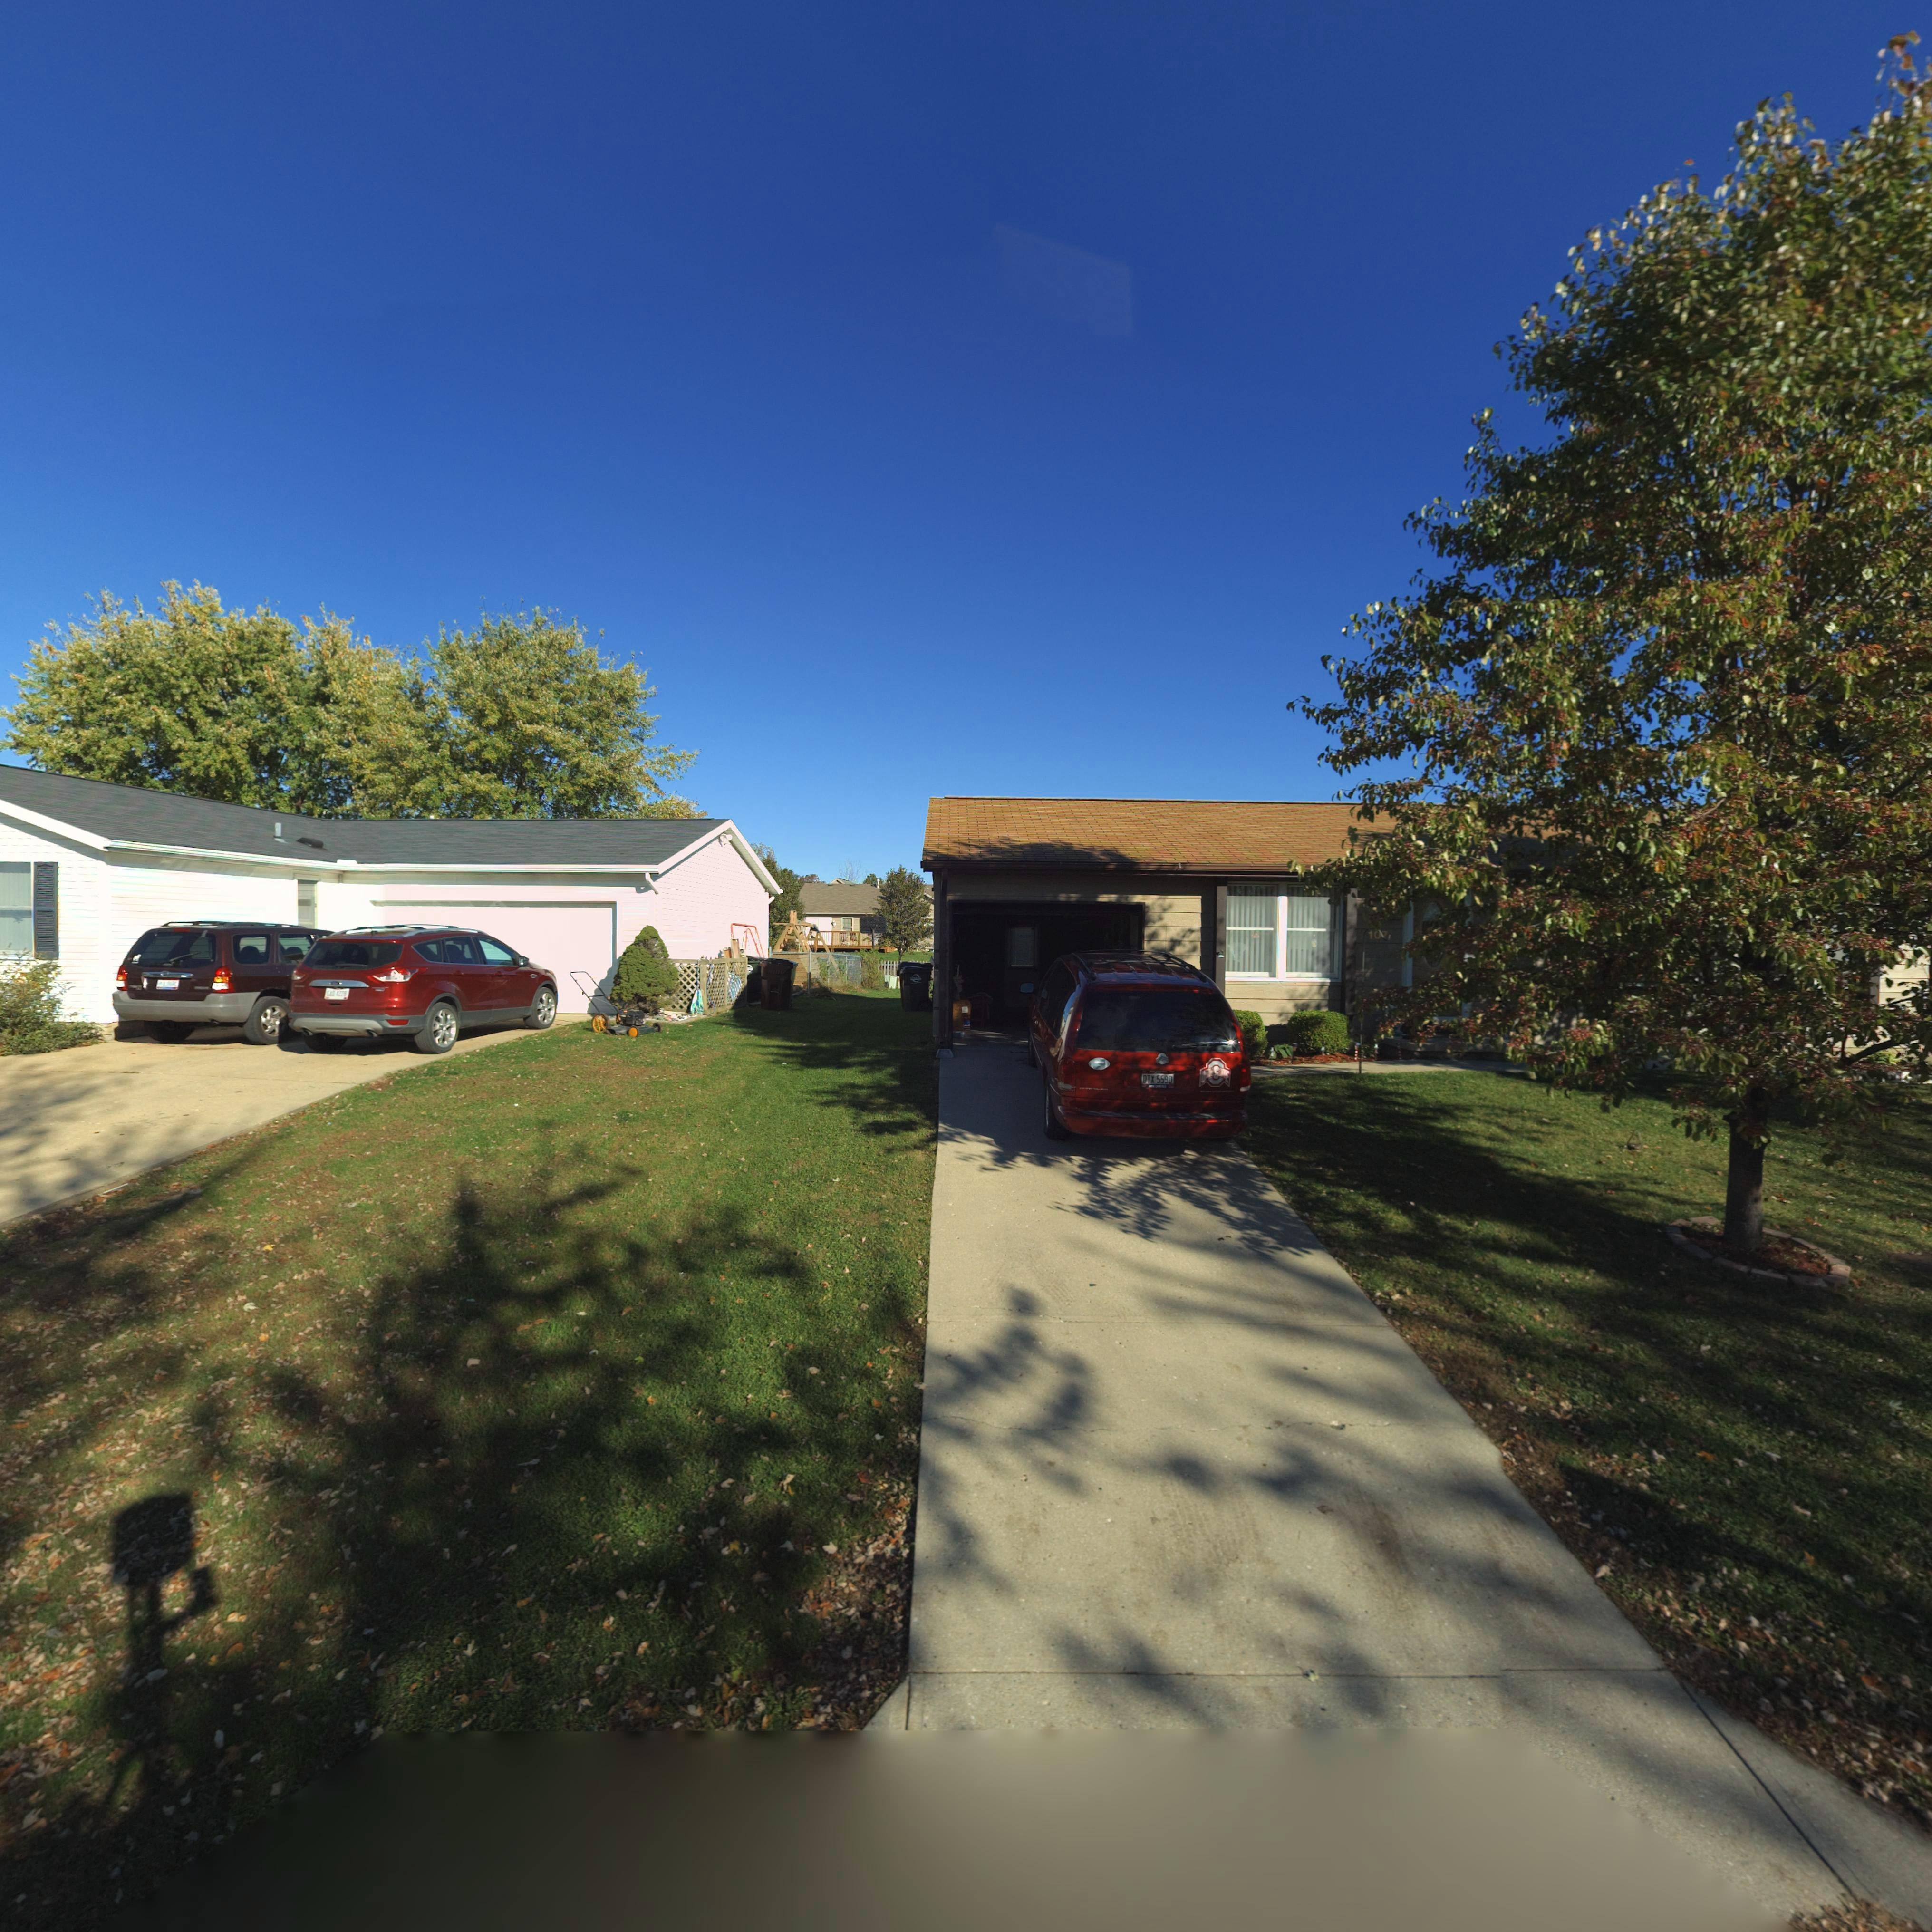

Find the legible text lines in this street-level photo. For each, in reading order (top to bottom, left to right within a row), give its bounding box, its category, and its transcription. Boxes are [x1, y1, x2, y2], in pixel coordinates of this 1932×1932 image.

[1368, 930, 1390, 941] StreetNumber: 10*